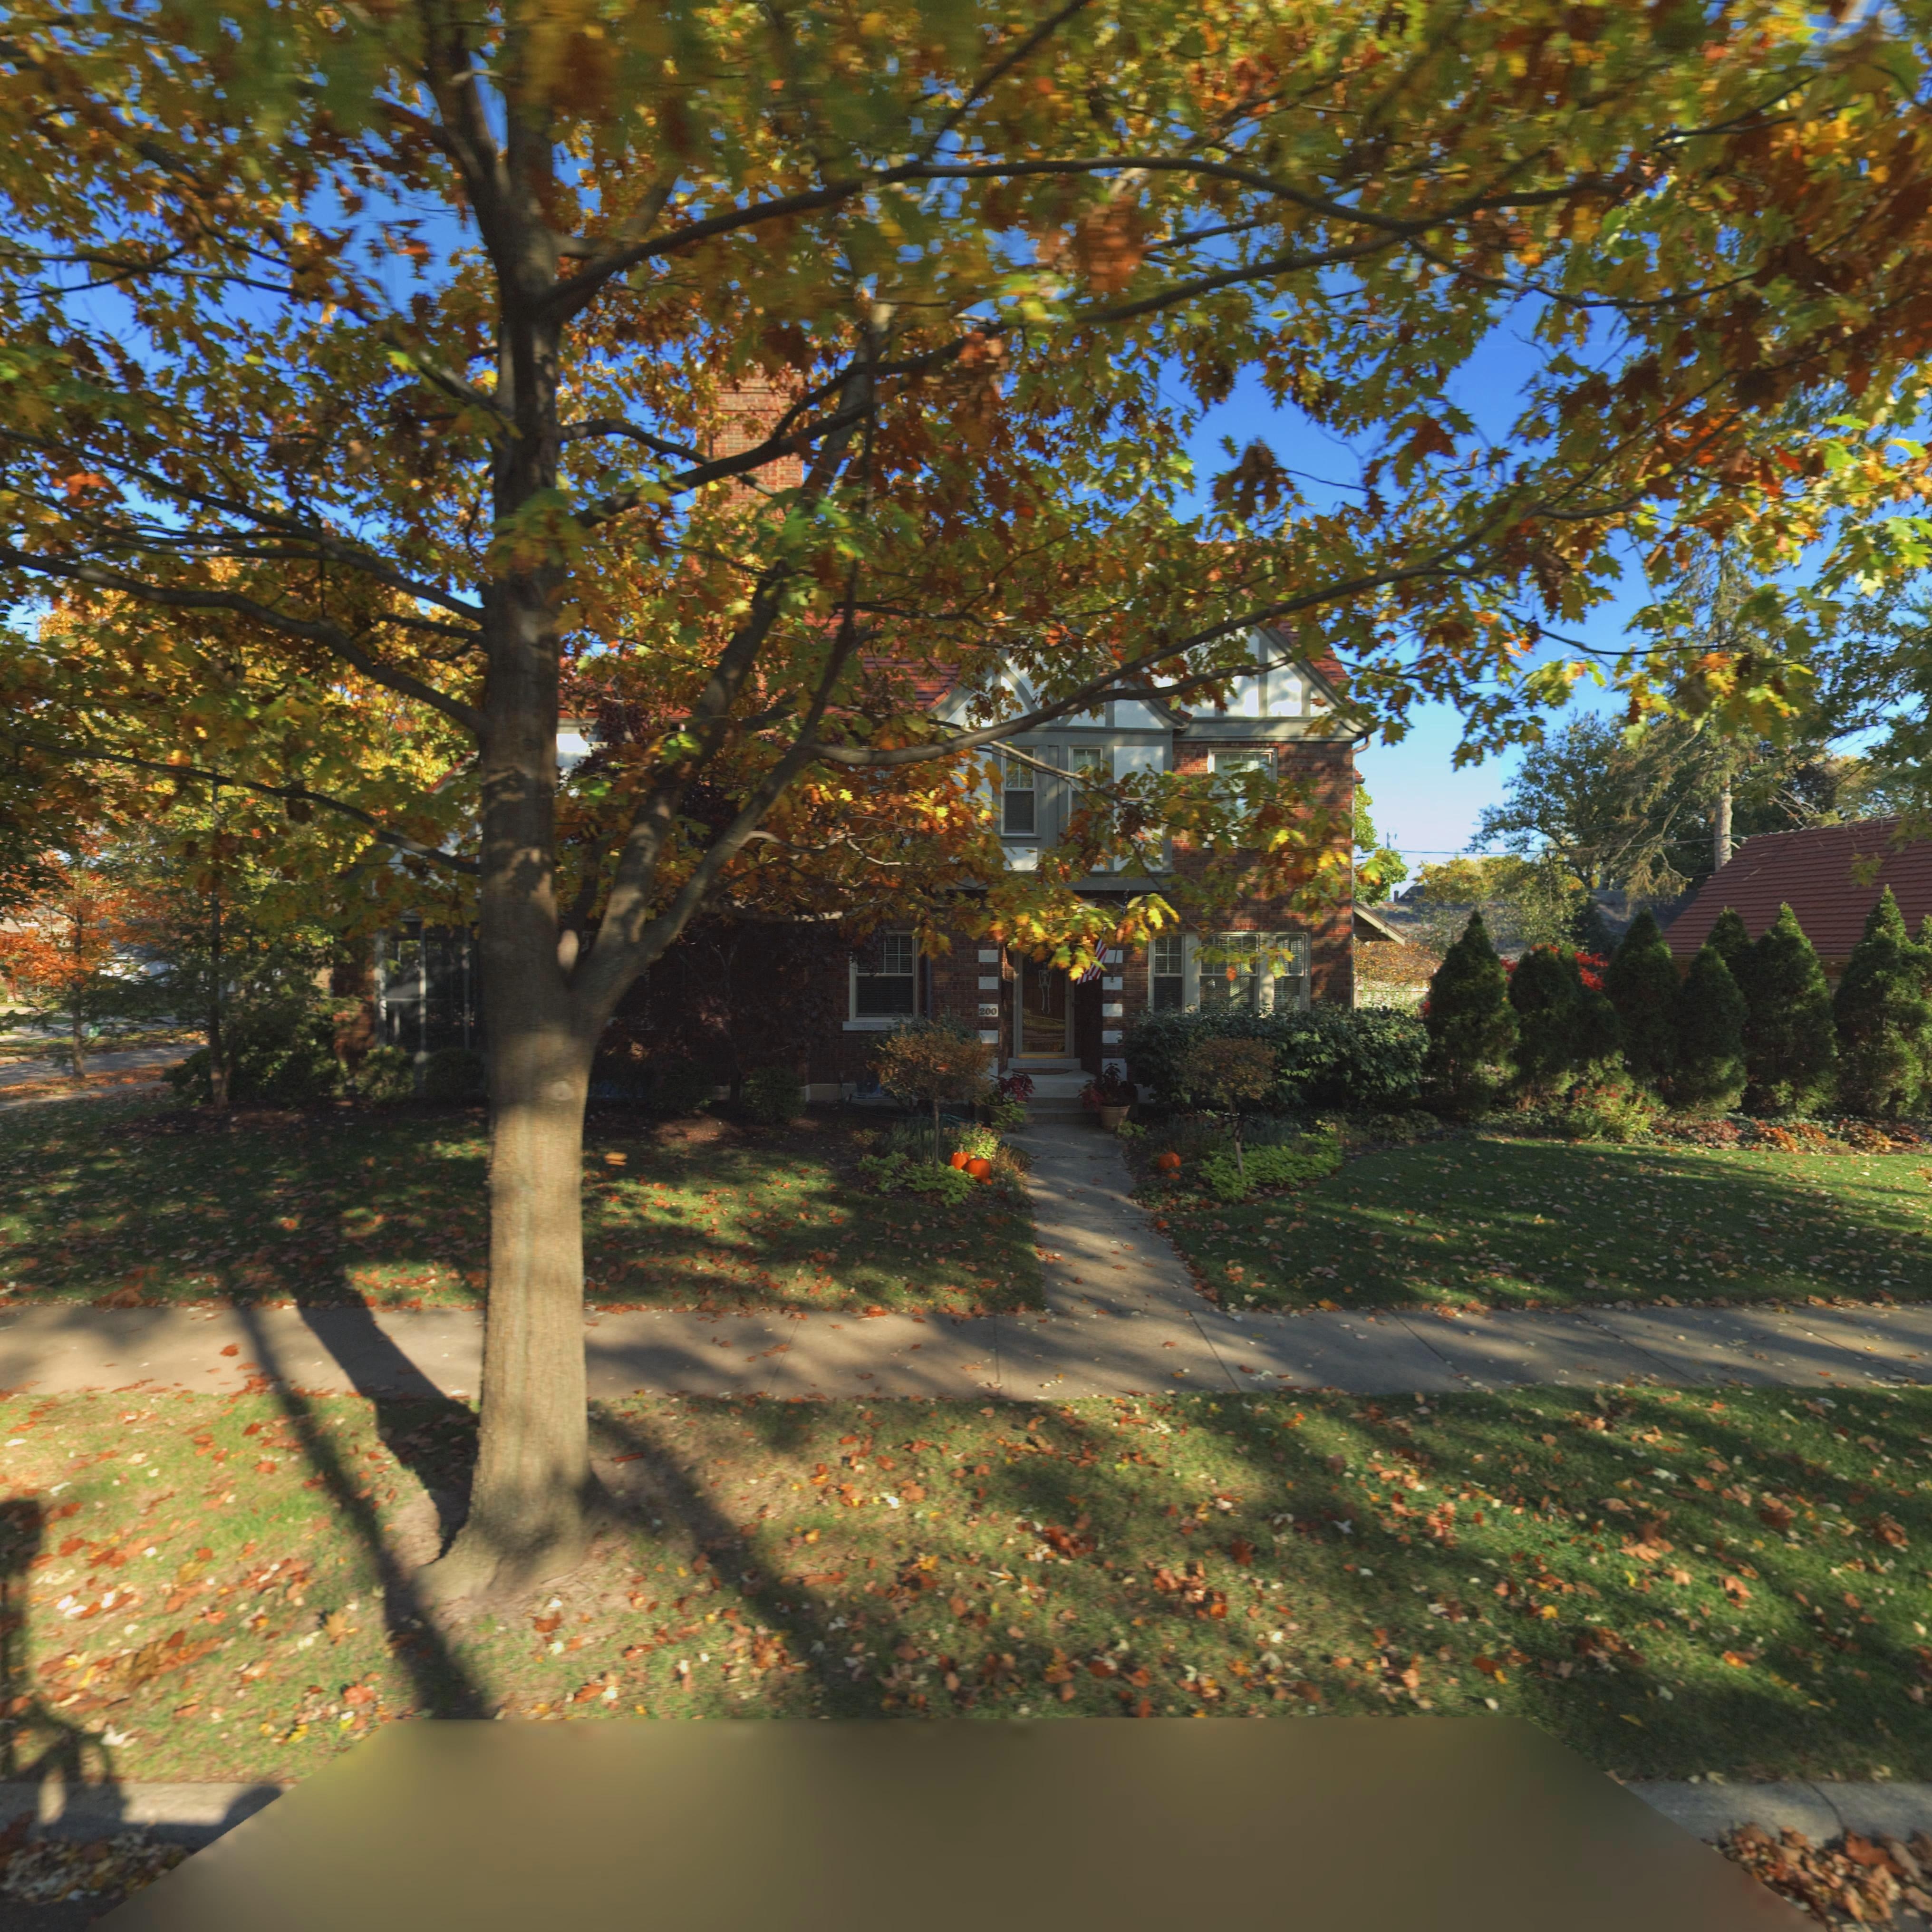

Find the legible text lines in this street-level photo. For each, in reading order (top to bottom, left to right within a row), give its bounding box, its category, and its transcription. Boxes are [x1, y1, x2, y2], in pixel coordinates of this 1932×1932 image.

[978, 1007, 997, 1015] StreetNumber: 200